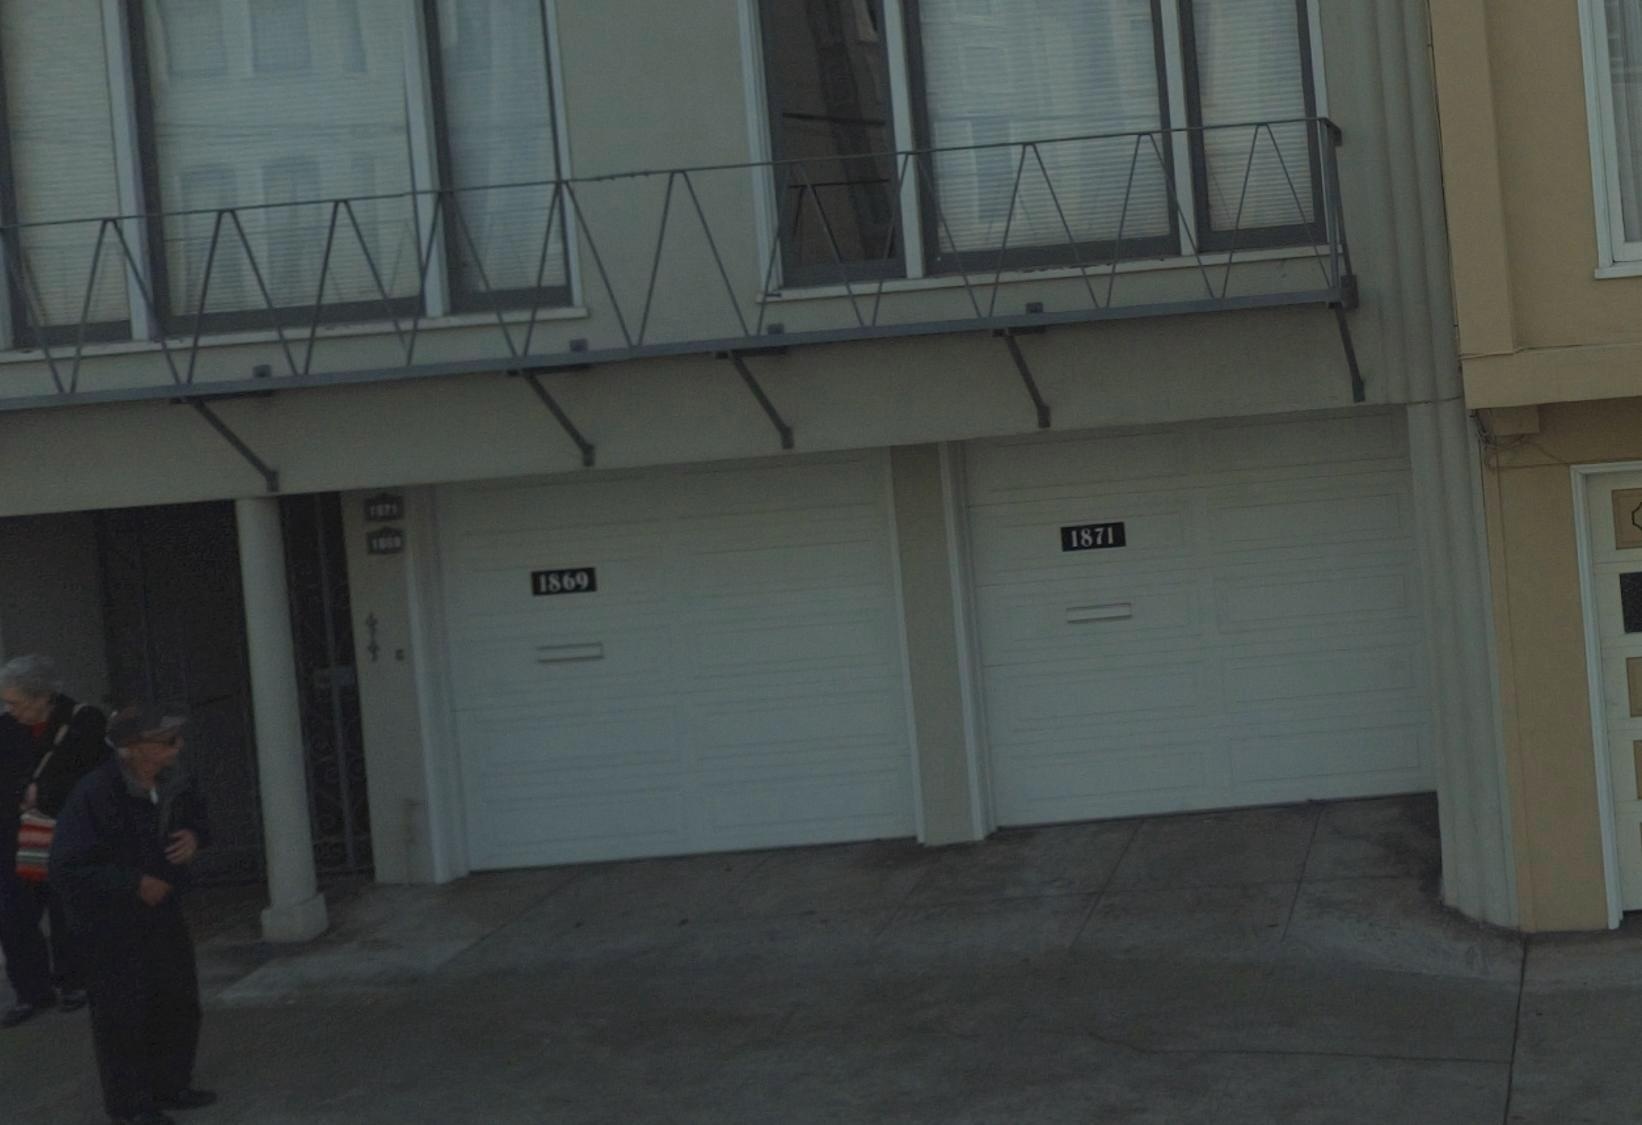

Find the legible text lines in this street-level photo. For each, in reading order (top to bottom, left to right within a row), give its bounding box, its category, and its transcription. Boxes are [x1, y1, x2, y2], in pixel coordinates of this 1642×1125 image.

[367, 499, 400, 520] StreetNumber: 1**1
[368, 531, 404, 555] StreetNumber: 1***
[1069, 525, 1117, 550] StreetNumber: 1871
[535, 568, 592, 596] StreetNumber: 1869